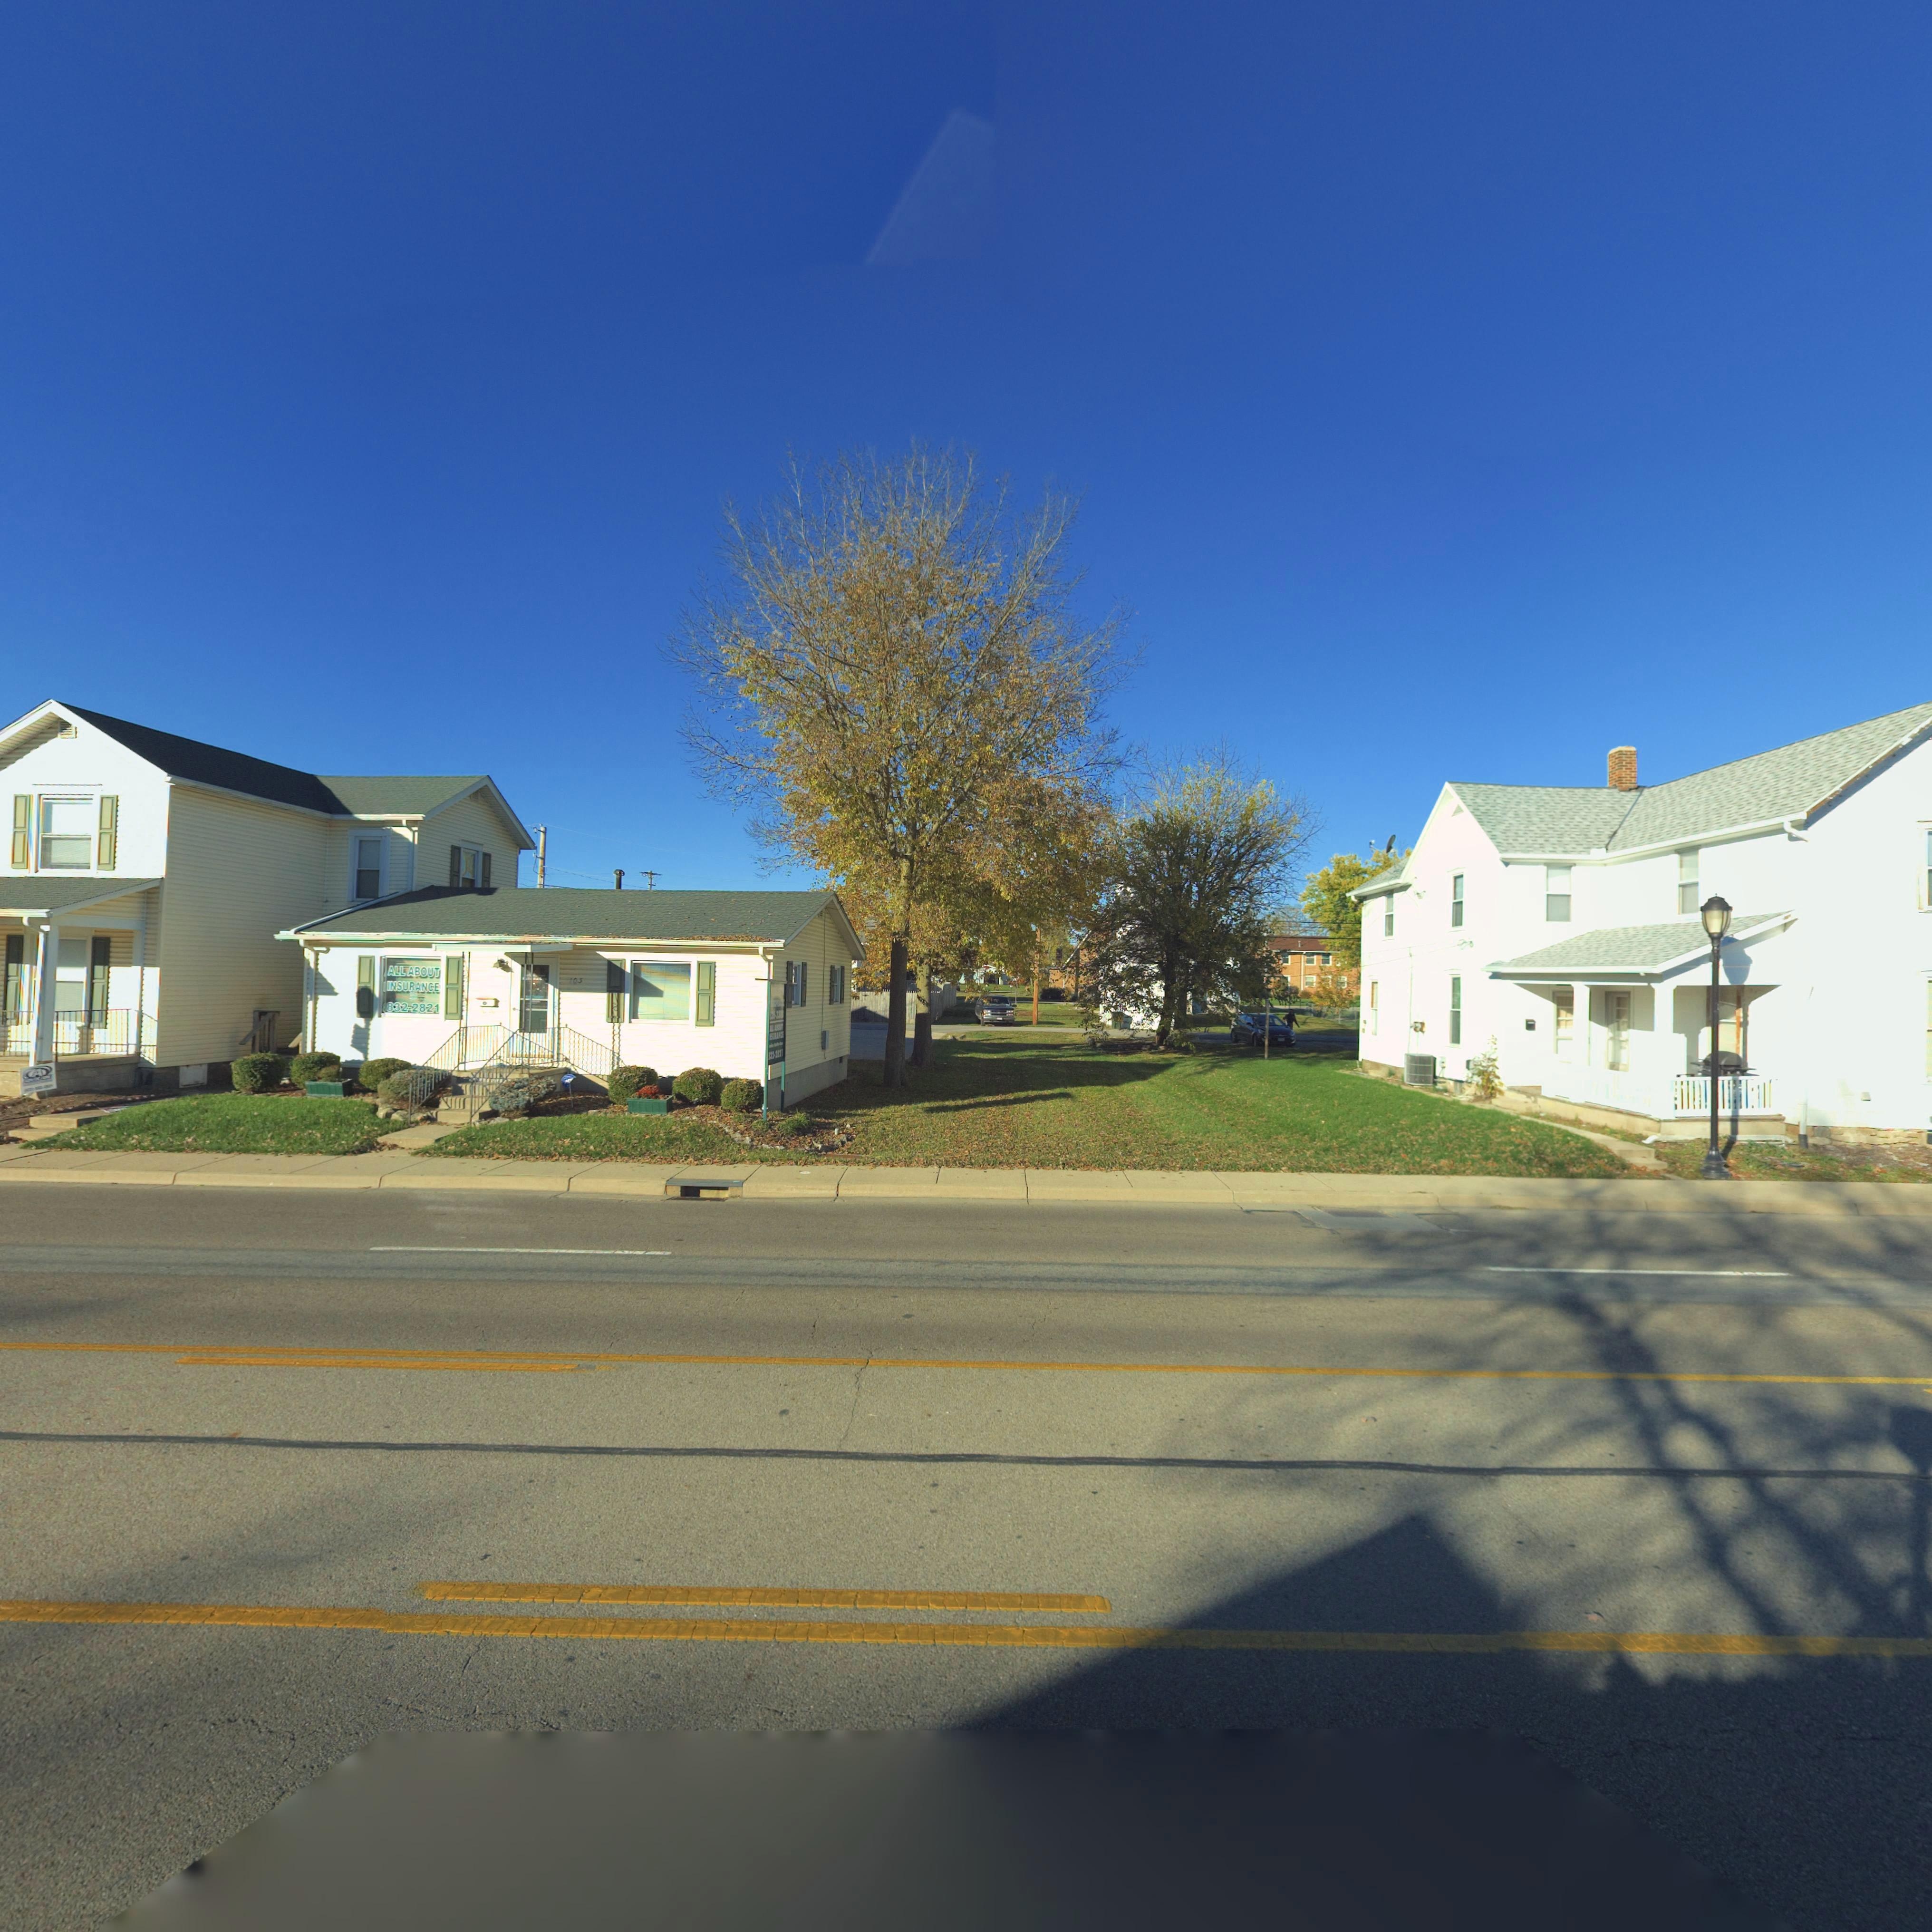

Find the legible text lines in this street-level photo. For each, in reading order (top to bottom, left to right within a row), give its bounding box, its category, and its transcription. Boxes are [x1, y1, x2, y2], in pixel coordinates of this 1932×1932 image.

[386, 964, 440, 978] None: ALL ABOUT
[385, 979, 439, 993] None: INSURANCE
[568, 977, 584, 984] StreetNumber: 103